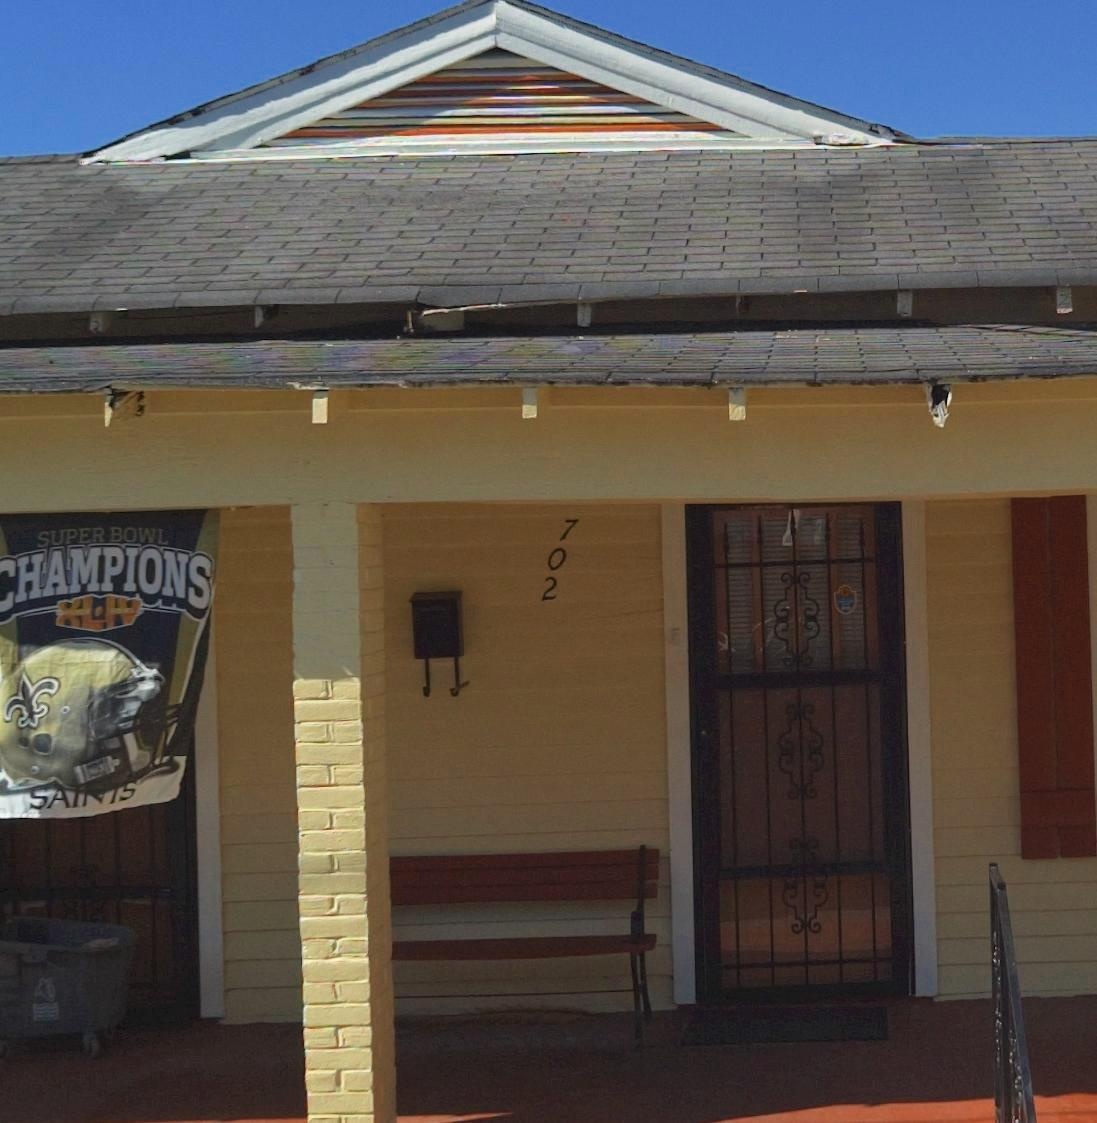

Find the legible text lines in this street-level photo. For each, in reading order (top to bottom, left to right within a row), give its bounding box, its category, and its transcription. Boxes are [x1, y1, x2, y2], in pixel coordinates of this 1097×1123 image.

[34, 524, 171, 550] None: SUPER BOWL
[12, 544, 215, 612] None: HAMPIONS
[538, 517, 583, 604] StreetNumber: 702
[52, 592, 146, 634] None: XL*IV
[24, 777, 139, 813] None: SA***S